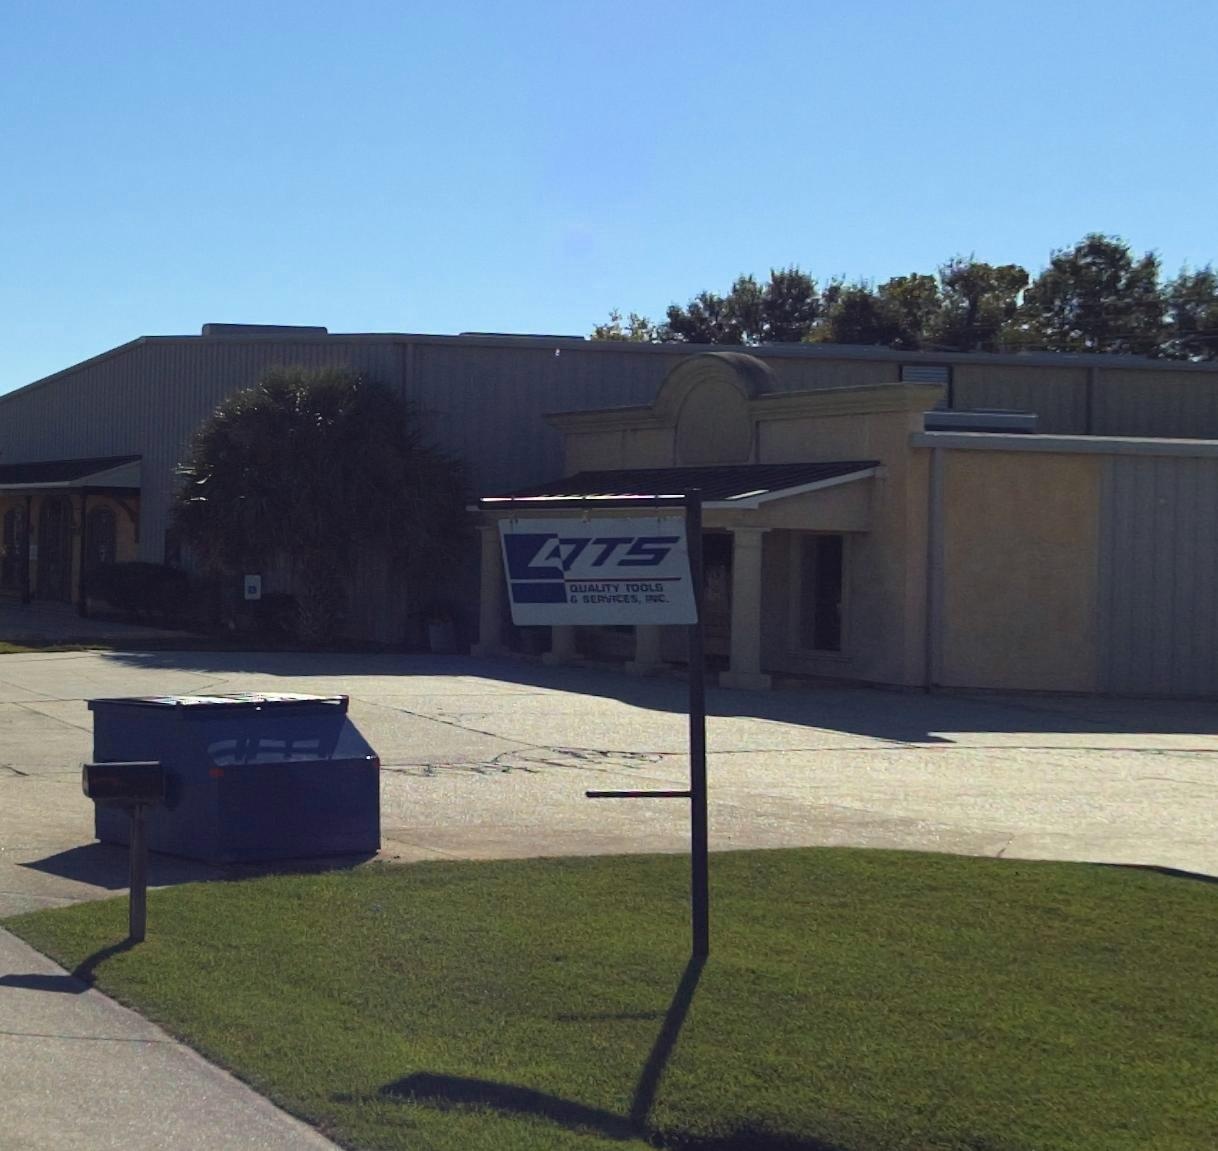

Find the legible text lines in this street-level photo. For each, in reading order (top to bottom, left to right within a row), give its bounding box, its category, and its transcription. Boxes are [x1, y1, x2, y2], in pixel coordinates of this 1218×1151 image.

[519, 533, 686, 574] None: QTS
[566, 580, 667, 595] BusinessName: QUALITY TOOLS
[580, 591, 672, 606] BusinessName: SERVICES, INC.